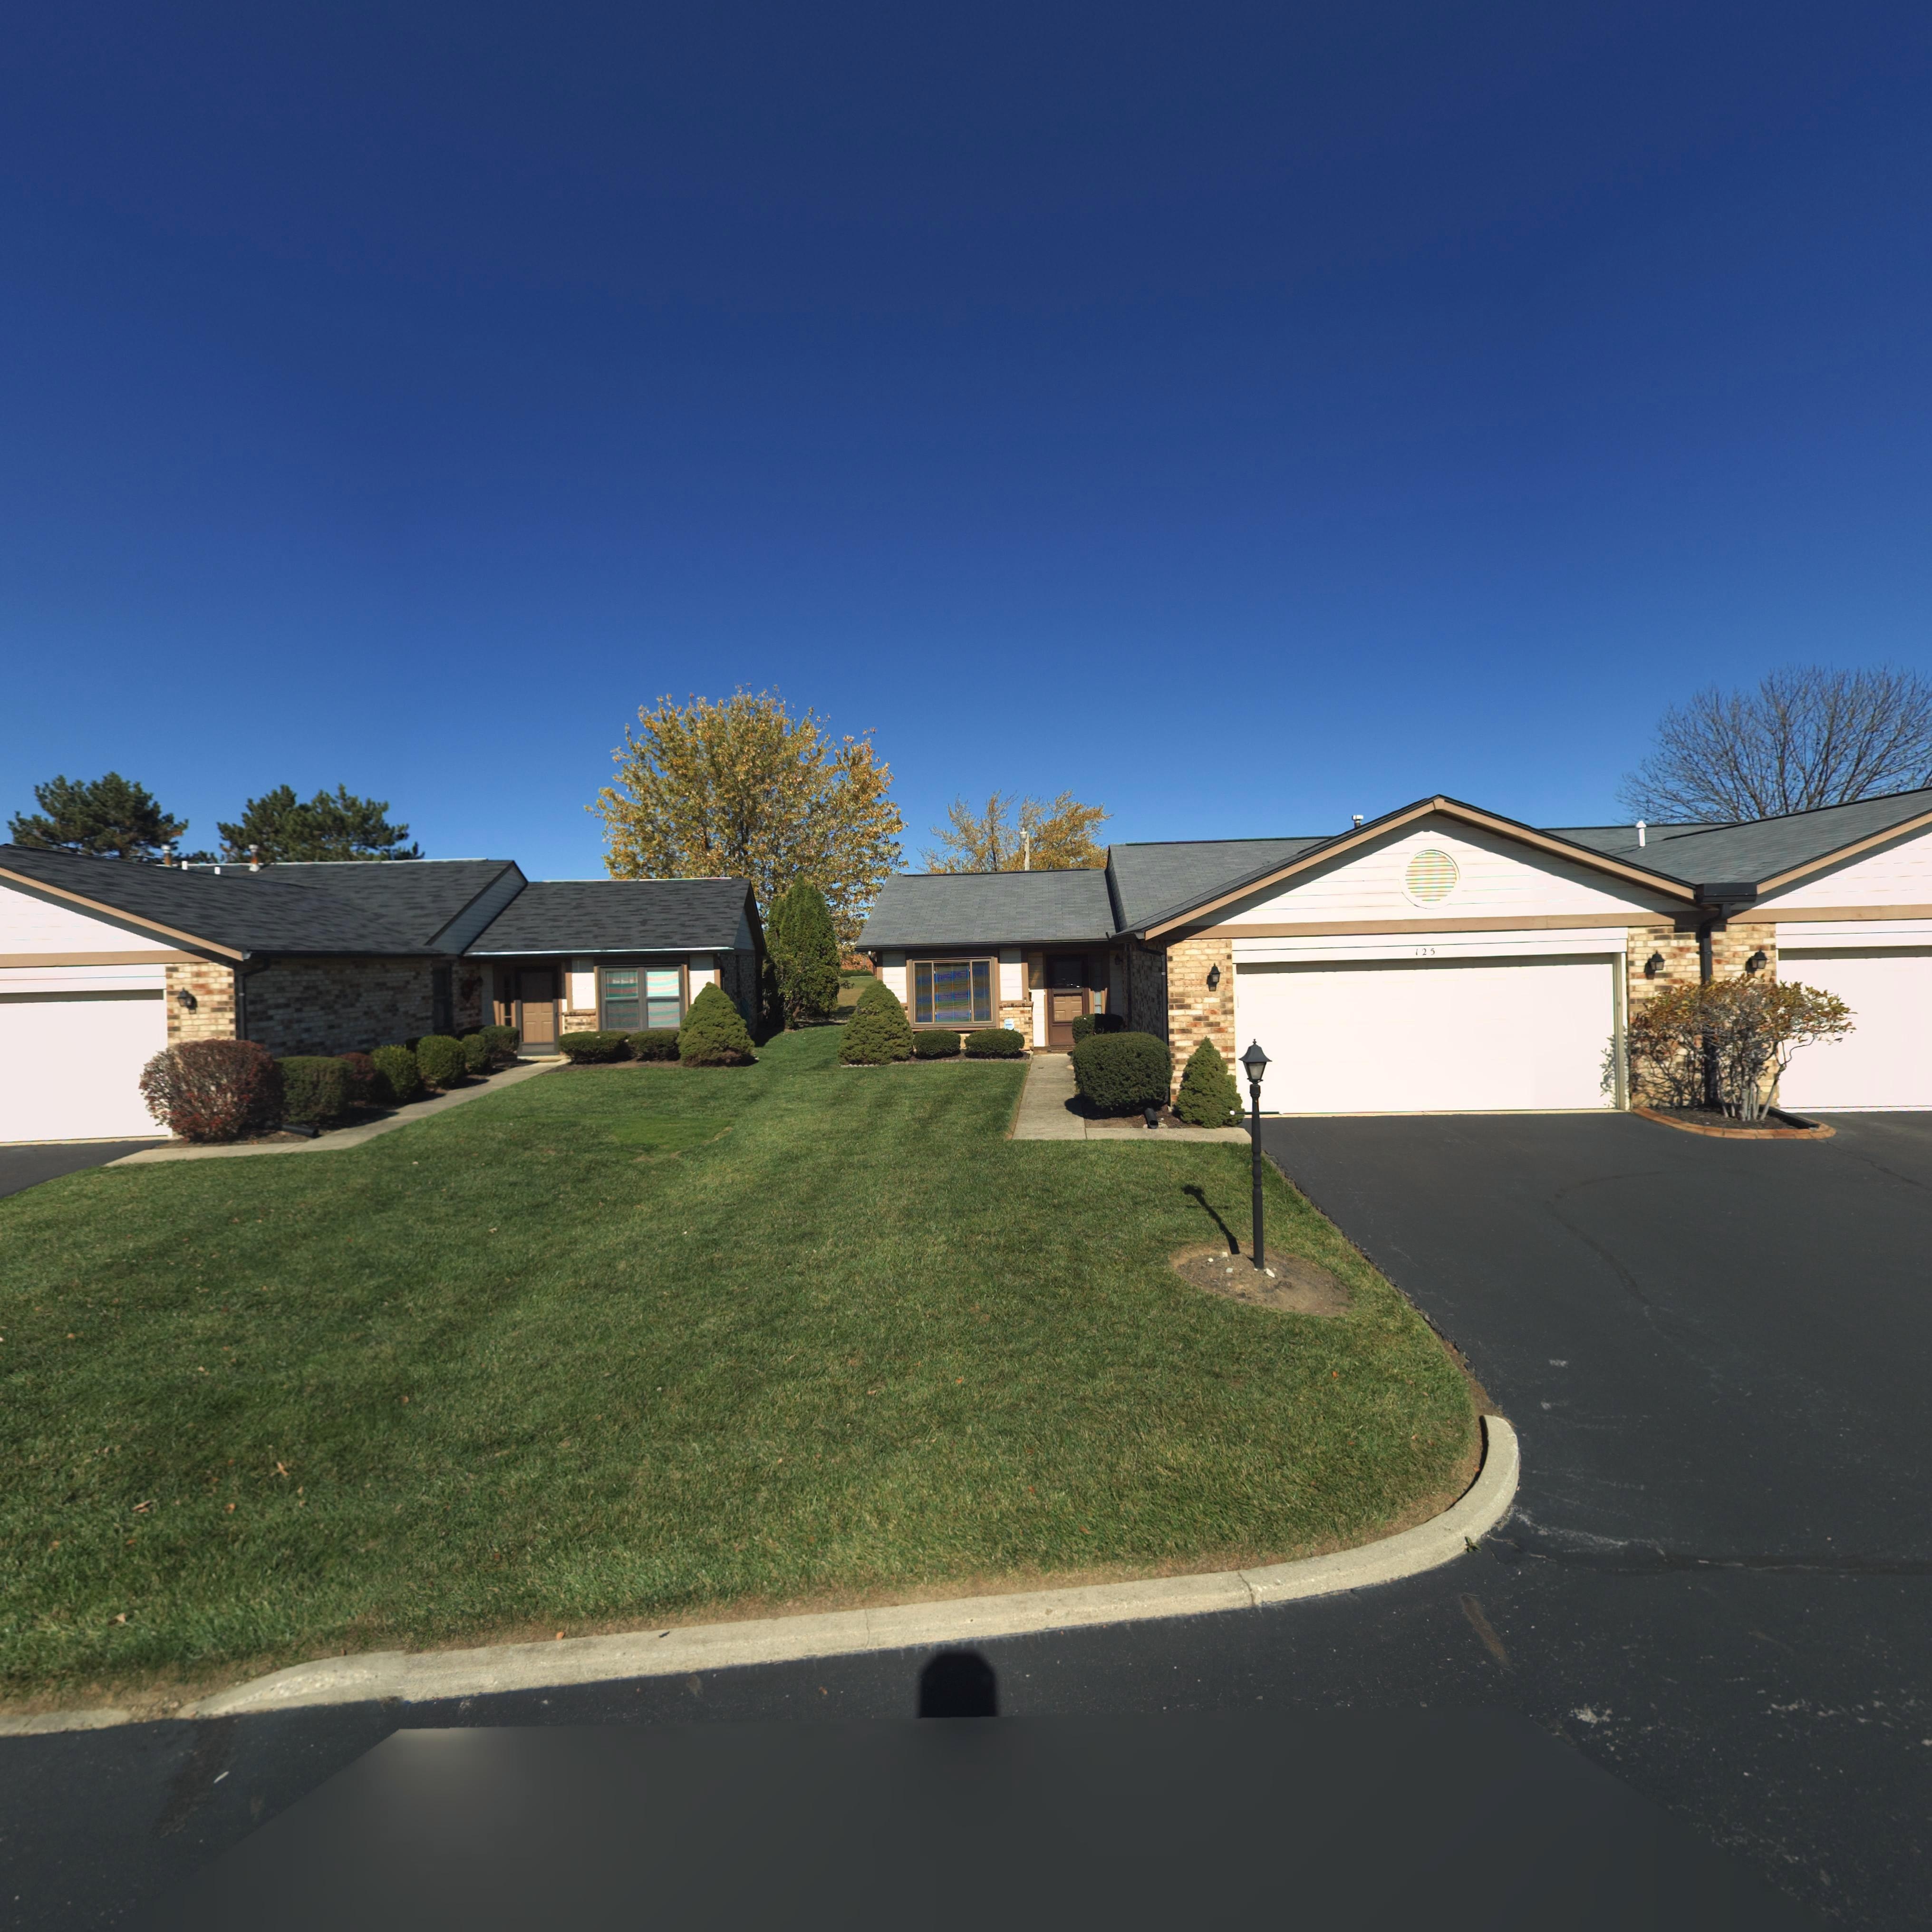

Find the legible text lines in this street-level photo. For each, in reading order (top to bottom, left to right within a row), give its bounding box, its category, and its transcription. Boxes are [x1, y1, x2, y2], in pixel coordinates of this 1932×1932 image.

[1414, 947, 1436, 956] StreetNumber: 125